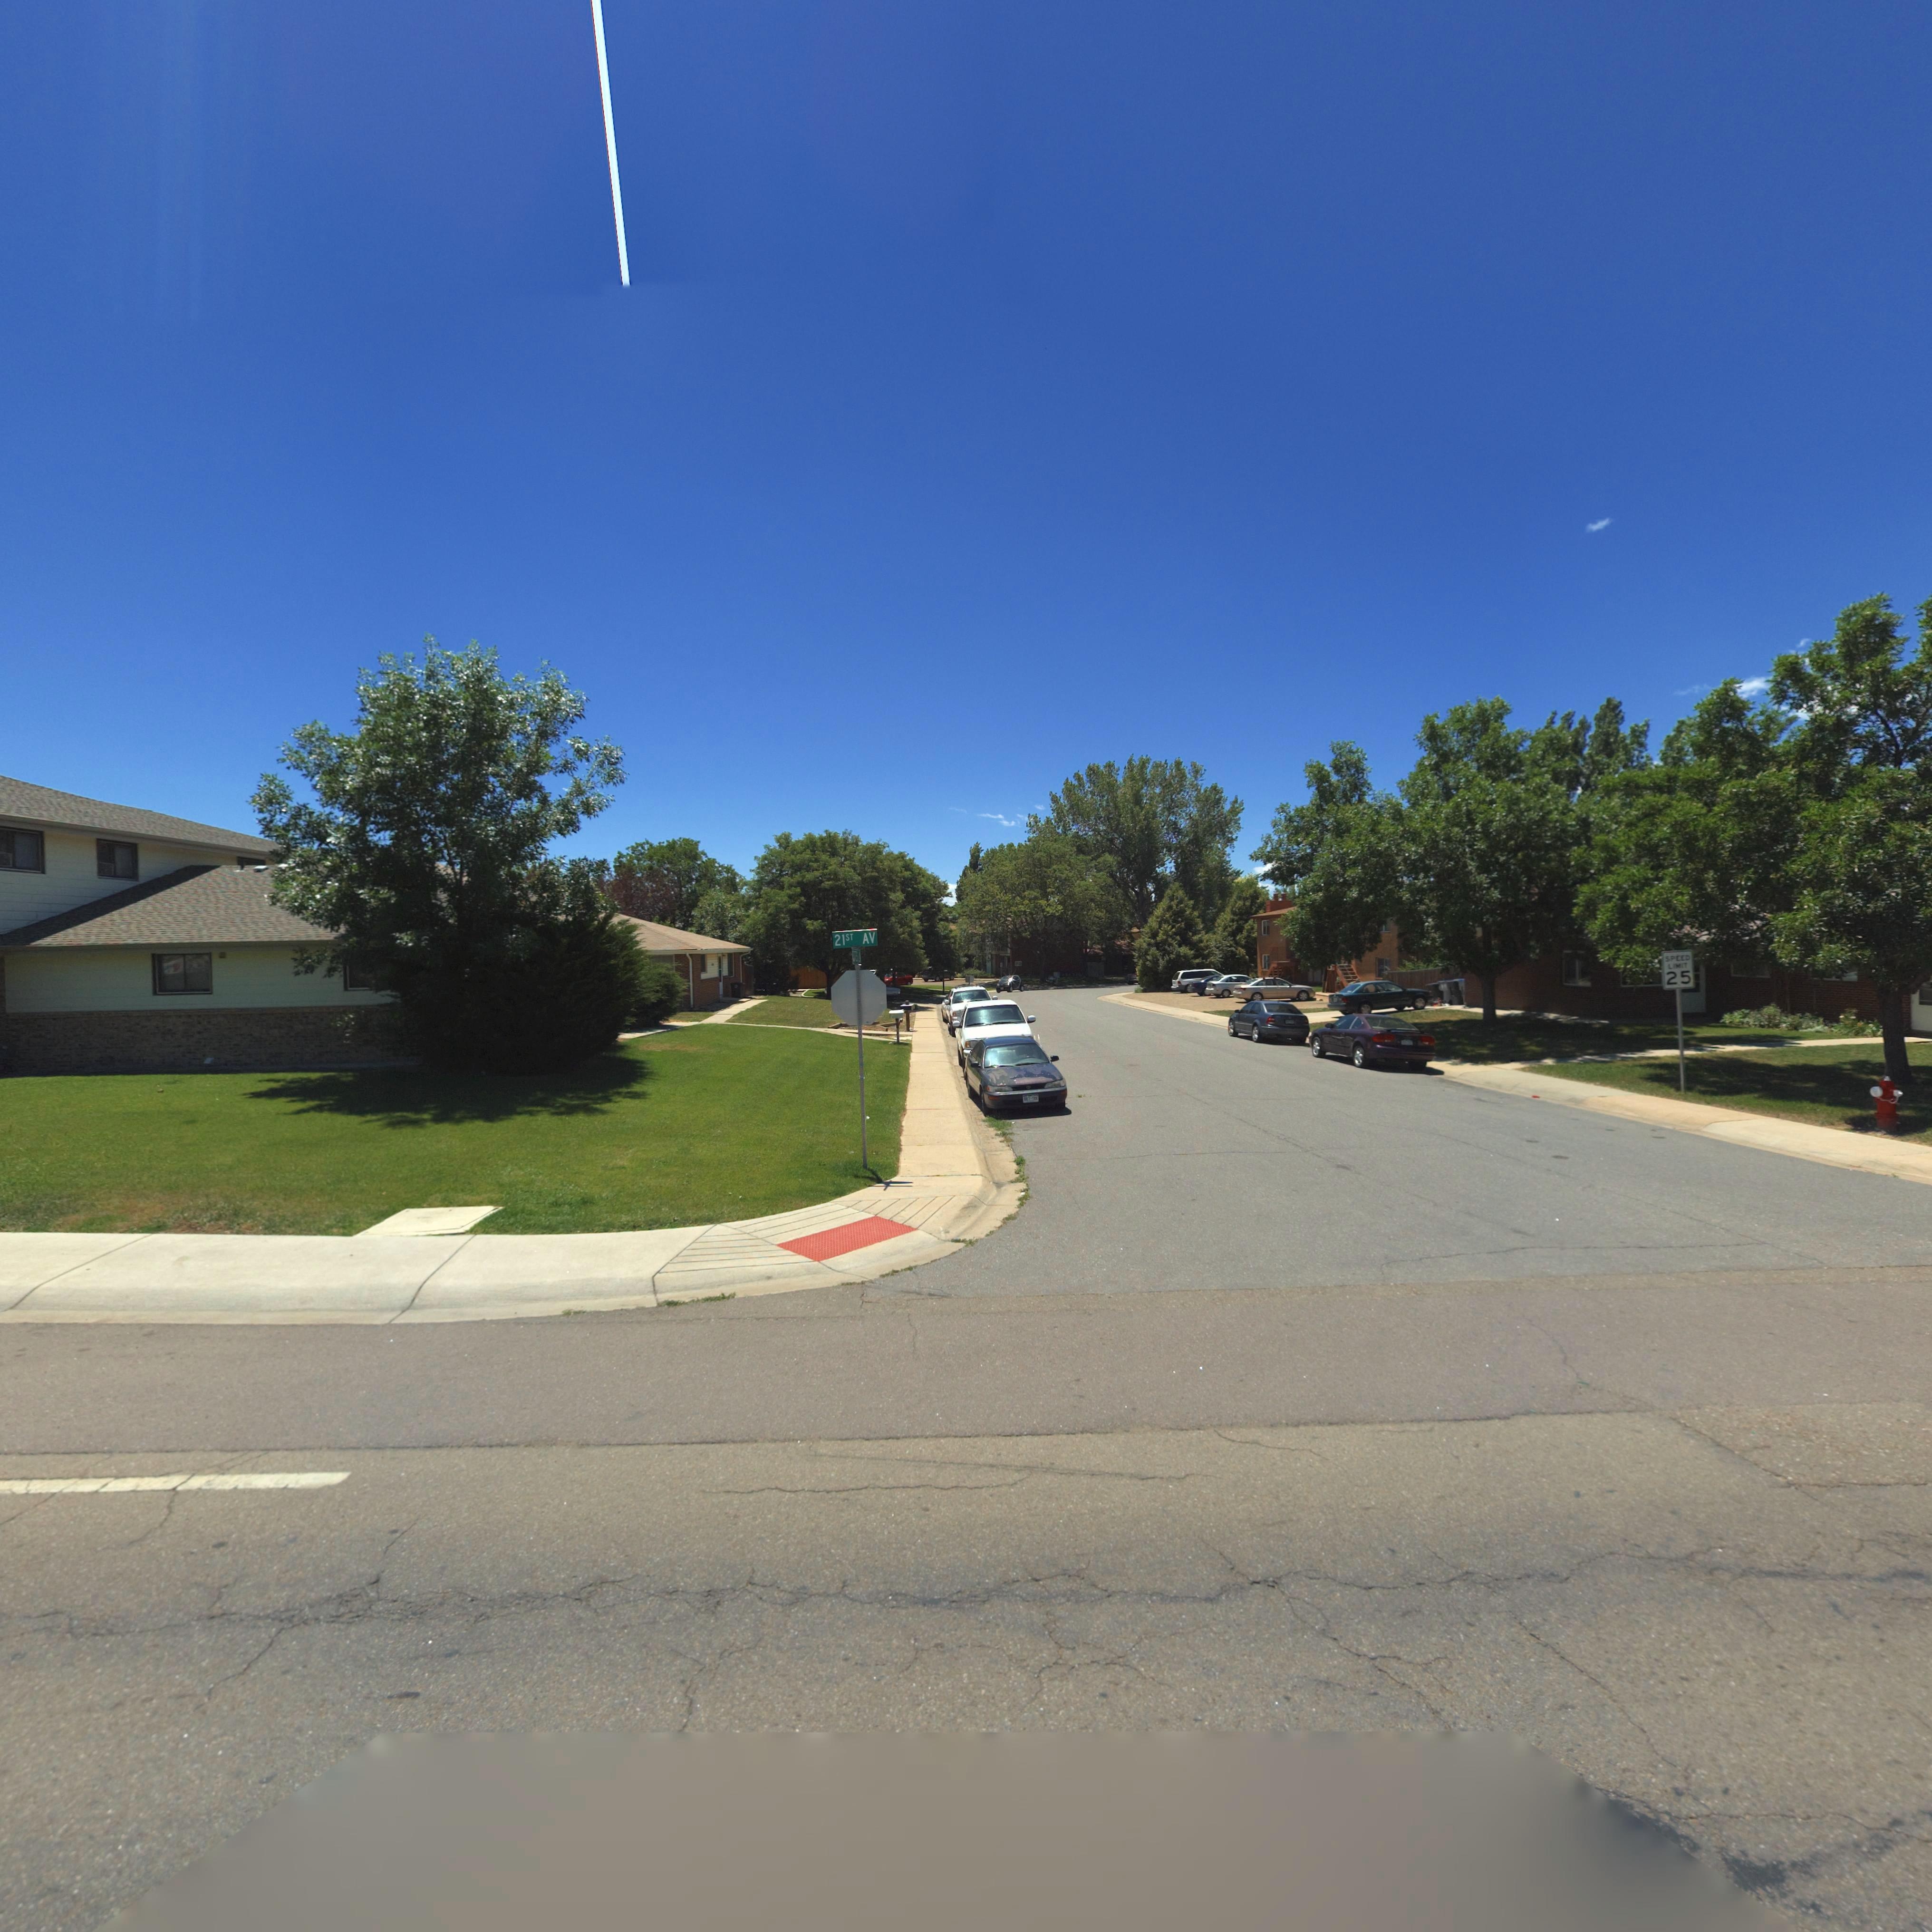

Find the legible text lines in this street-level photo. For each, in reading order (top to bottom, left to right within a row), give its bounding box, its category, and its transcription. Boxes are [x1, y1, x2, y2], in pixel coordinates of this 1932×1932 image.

[834, 932, 875, 946] StreetName: 21ST AV
[851, 950, 860, 962] StreetName: ESTES *